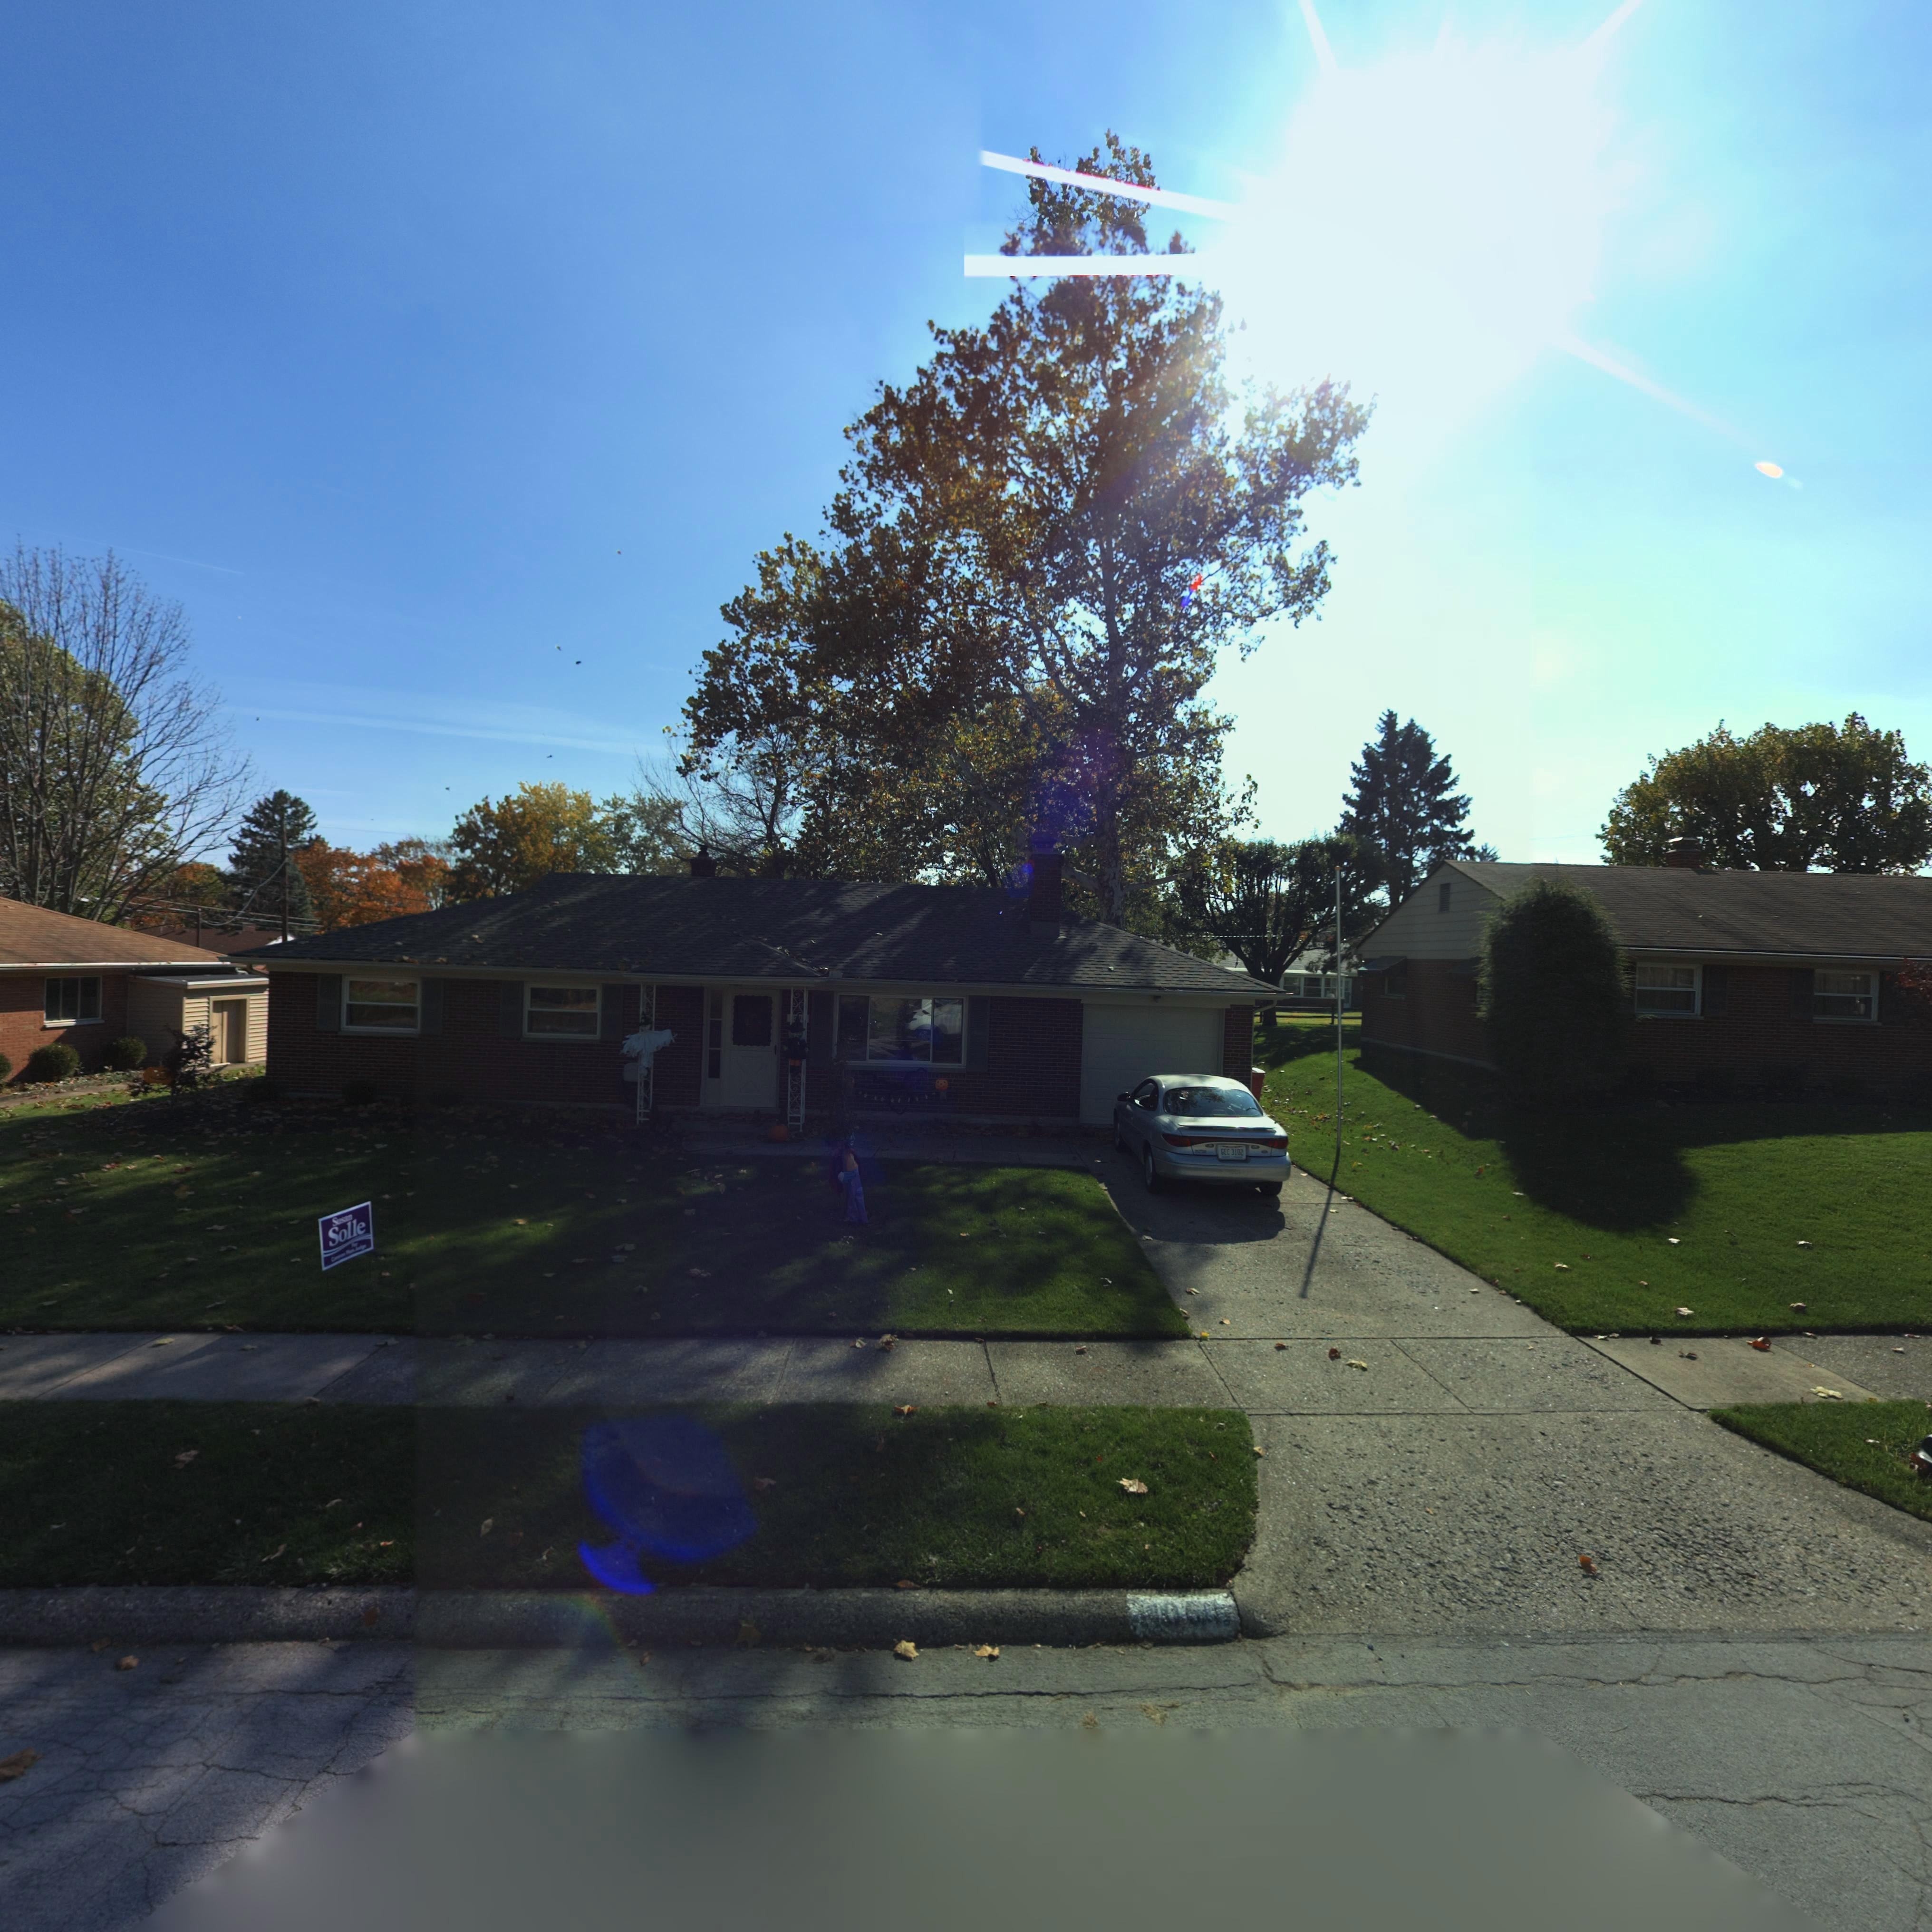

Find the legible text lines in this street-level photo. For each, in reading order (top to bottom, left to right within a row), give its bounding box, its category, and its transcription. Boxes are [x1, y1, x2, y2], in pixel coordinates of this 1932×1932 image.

[1220, 1148, 1244, 1156] None: GEC 3102
[331, 1213, 354, 1227] None: Susan
[327, 1216, 367, 1249] None: Solle